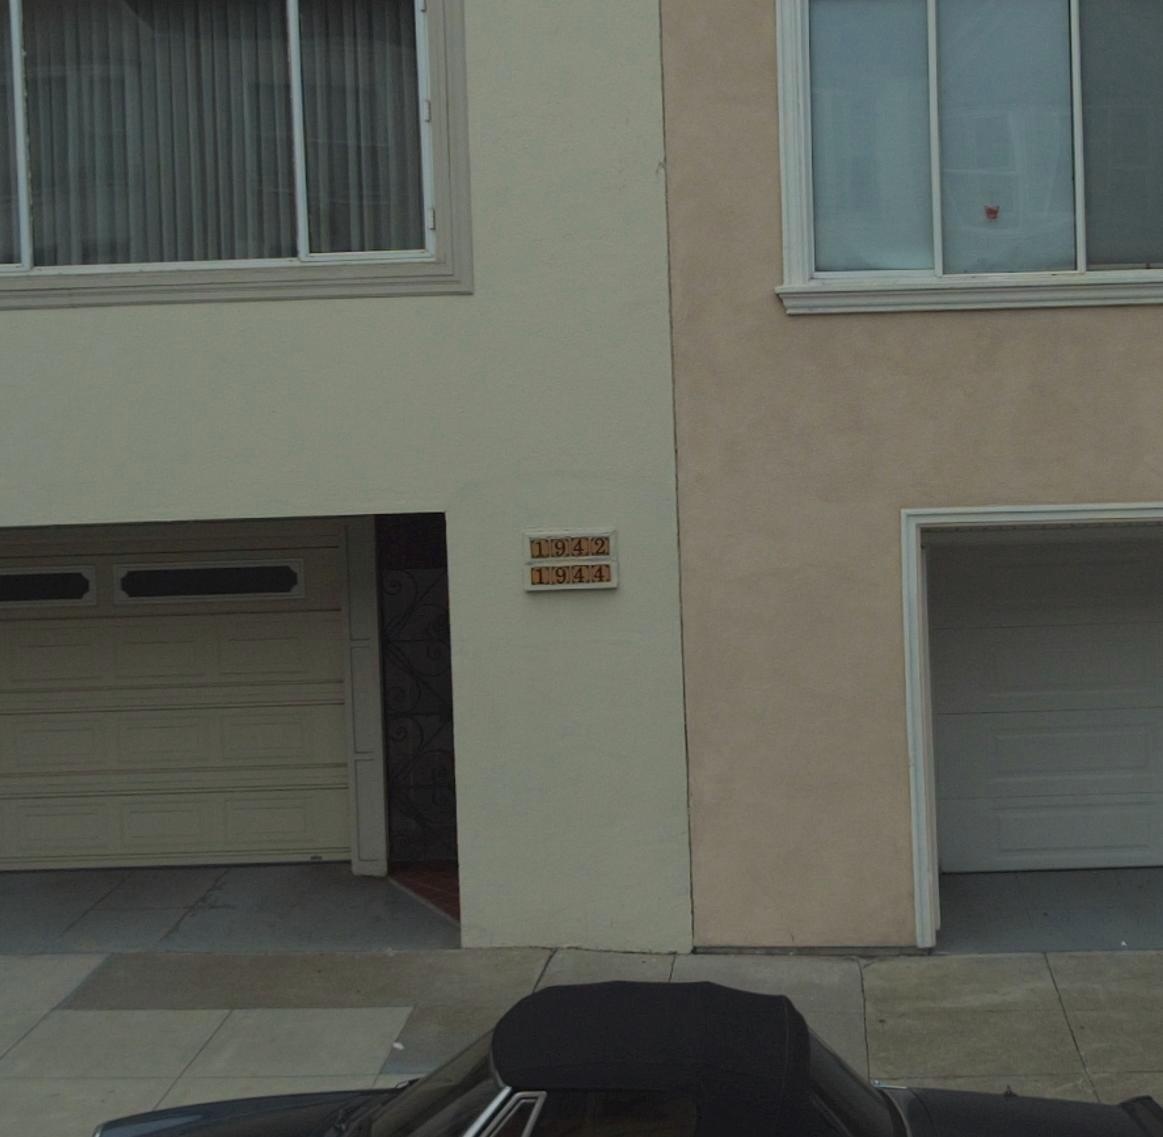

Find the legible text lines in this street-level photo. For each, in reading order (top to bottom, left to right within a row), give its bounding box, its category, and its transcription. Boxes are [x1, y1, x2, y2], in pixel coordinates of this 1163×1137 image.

[533, 537, 607, 558] StreetNumber: 1942
[534, 564, 606, 585] StreetNumber: 1944